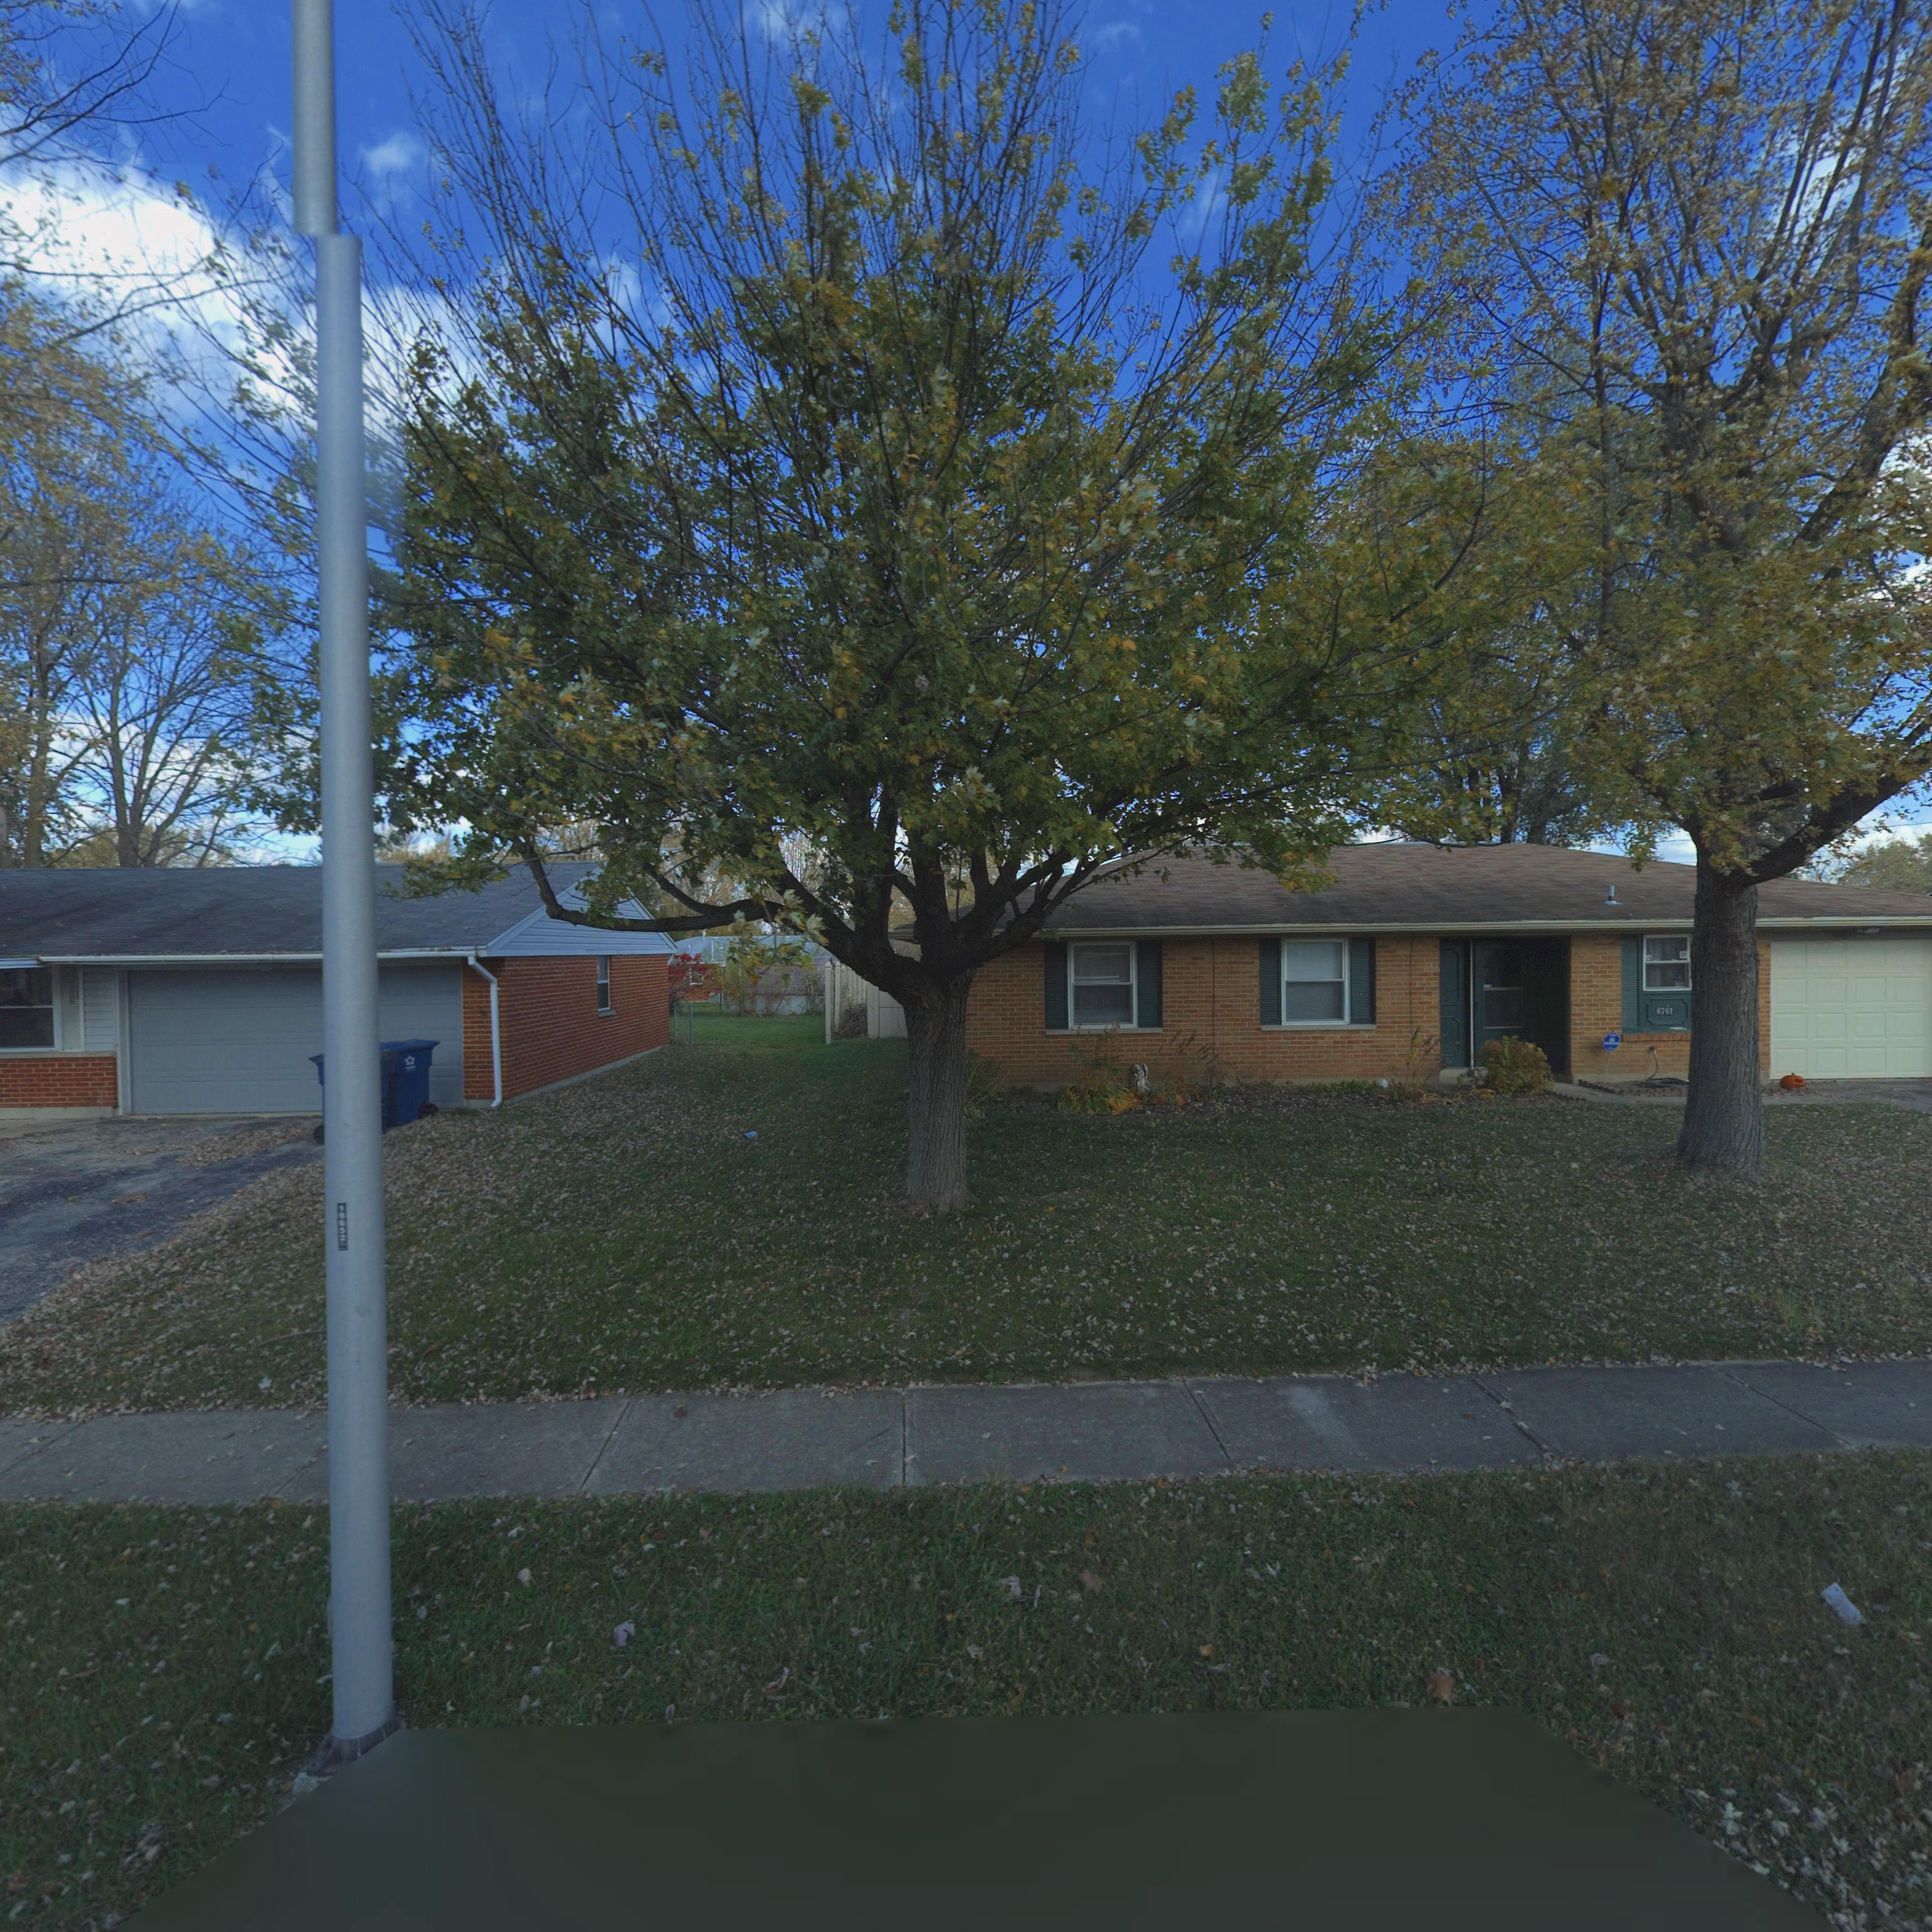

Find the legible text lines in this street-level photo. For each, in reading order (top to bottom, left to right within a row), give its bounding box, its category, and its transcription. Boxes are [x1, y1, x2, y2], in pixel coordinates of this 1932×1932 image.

[1656, 1007, 1673, 1015] StreetNumber: 6761